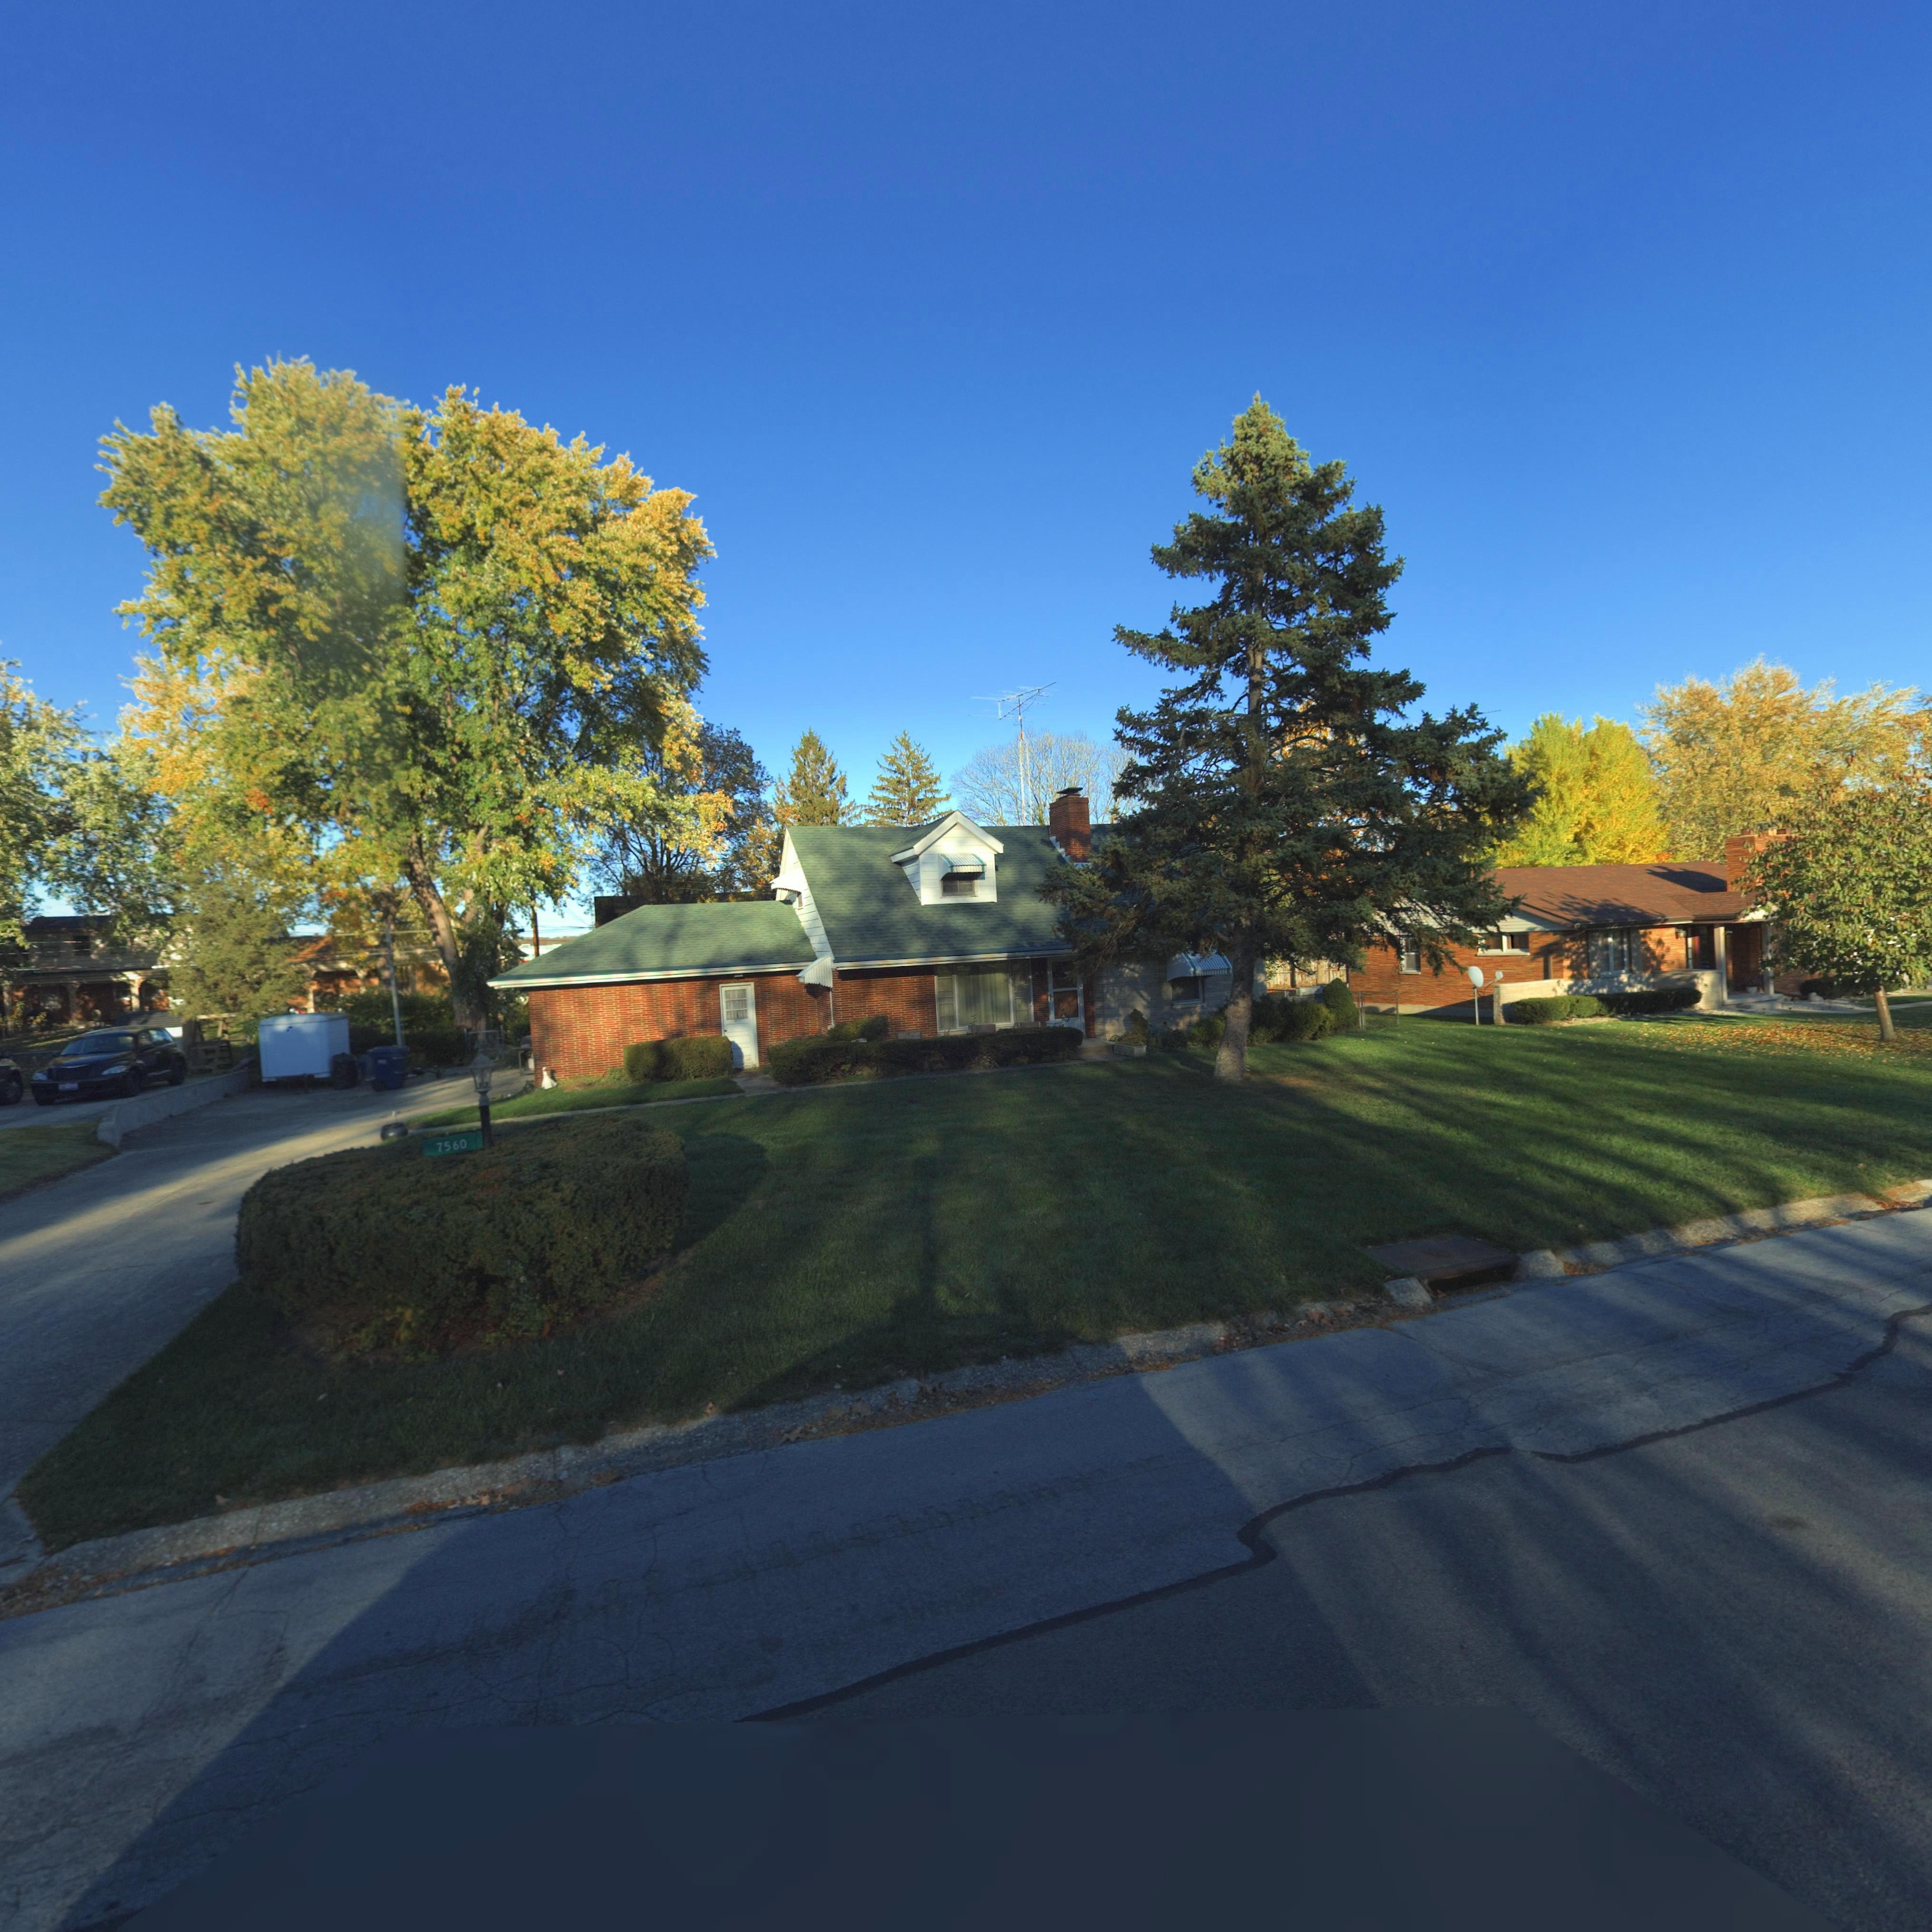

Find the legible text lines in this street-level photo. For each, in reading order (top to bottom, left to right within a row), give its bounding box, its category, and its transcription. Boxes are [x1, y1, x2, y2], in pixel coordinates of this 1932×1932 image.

[435, 1137, 469, 1154] StreetNumber: 7560